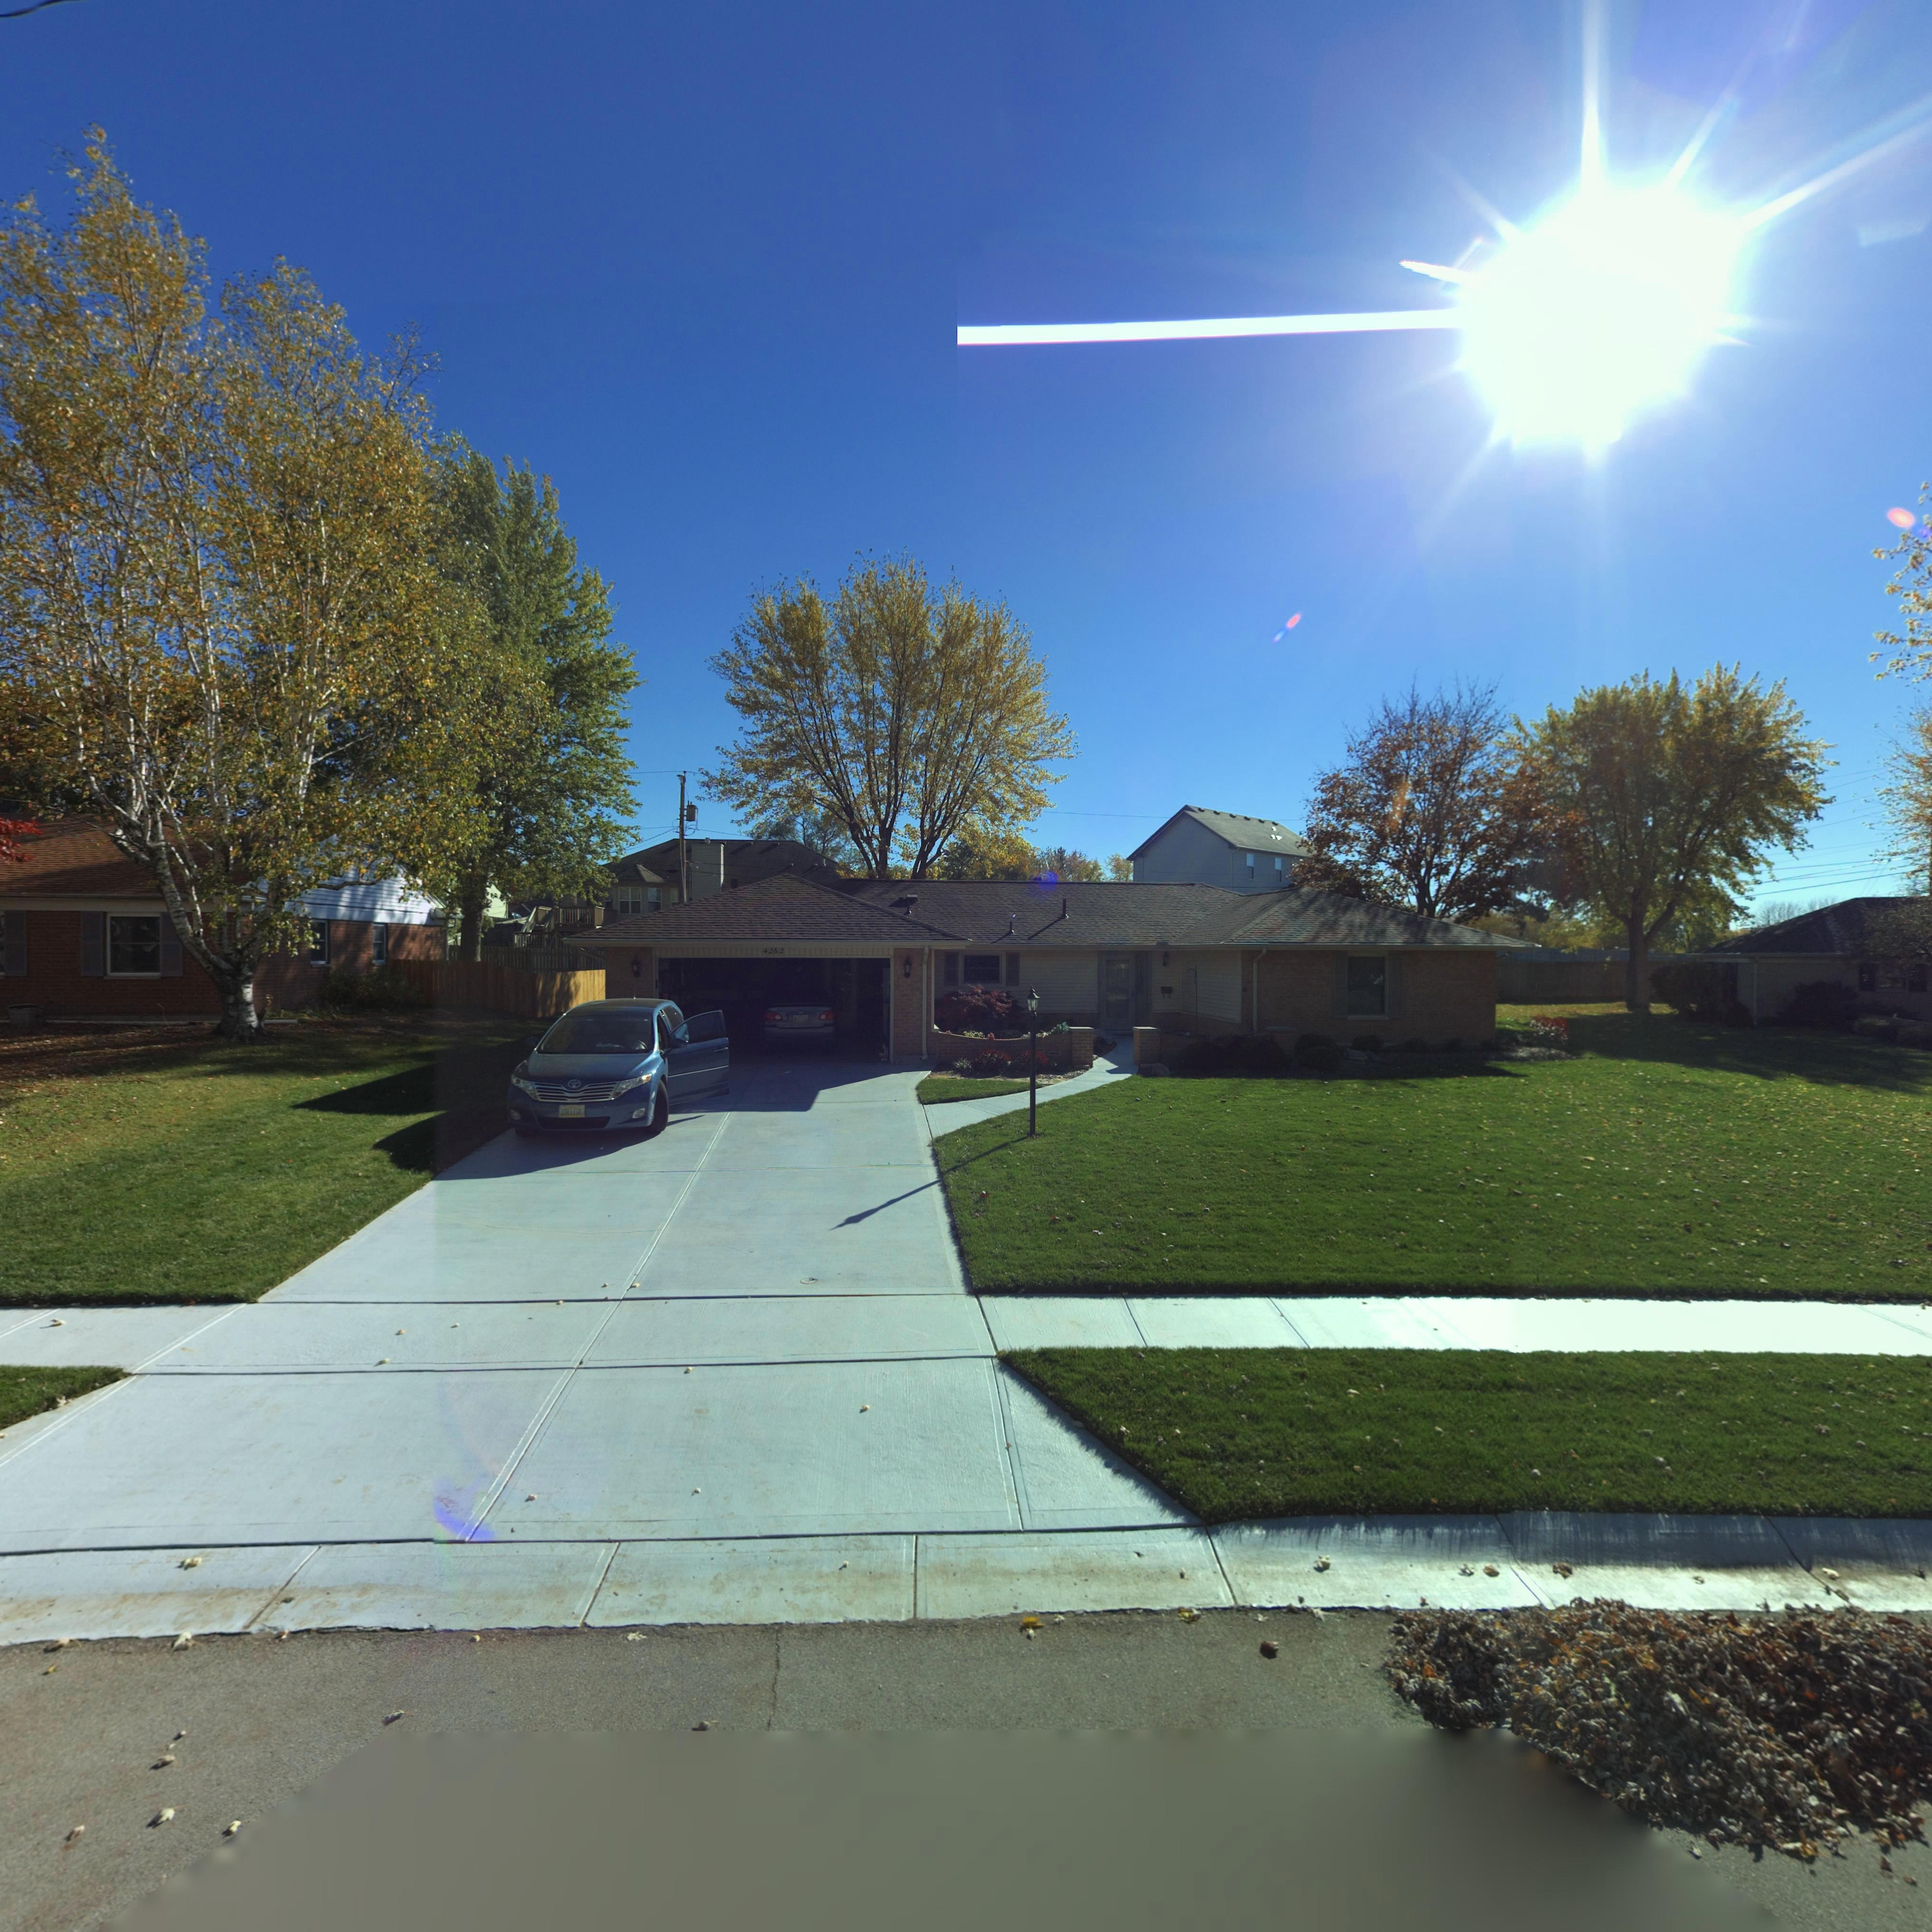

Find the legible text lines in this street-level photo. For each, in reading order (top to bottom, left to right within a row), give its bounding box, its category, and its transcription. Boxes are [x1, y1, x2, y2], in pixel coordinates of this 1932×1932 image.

[762, 946, 785, 956] StreetNumber: 4262
[561, 1108, 583, 1116] None: COLLEGE